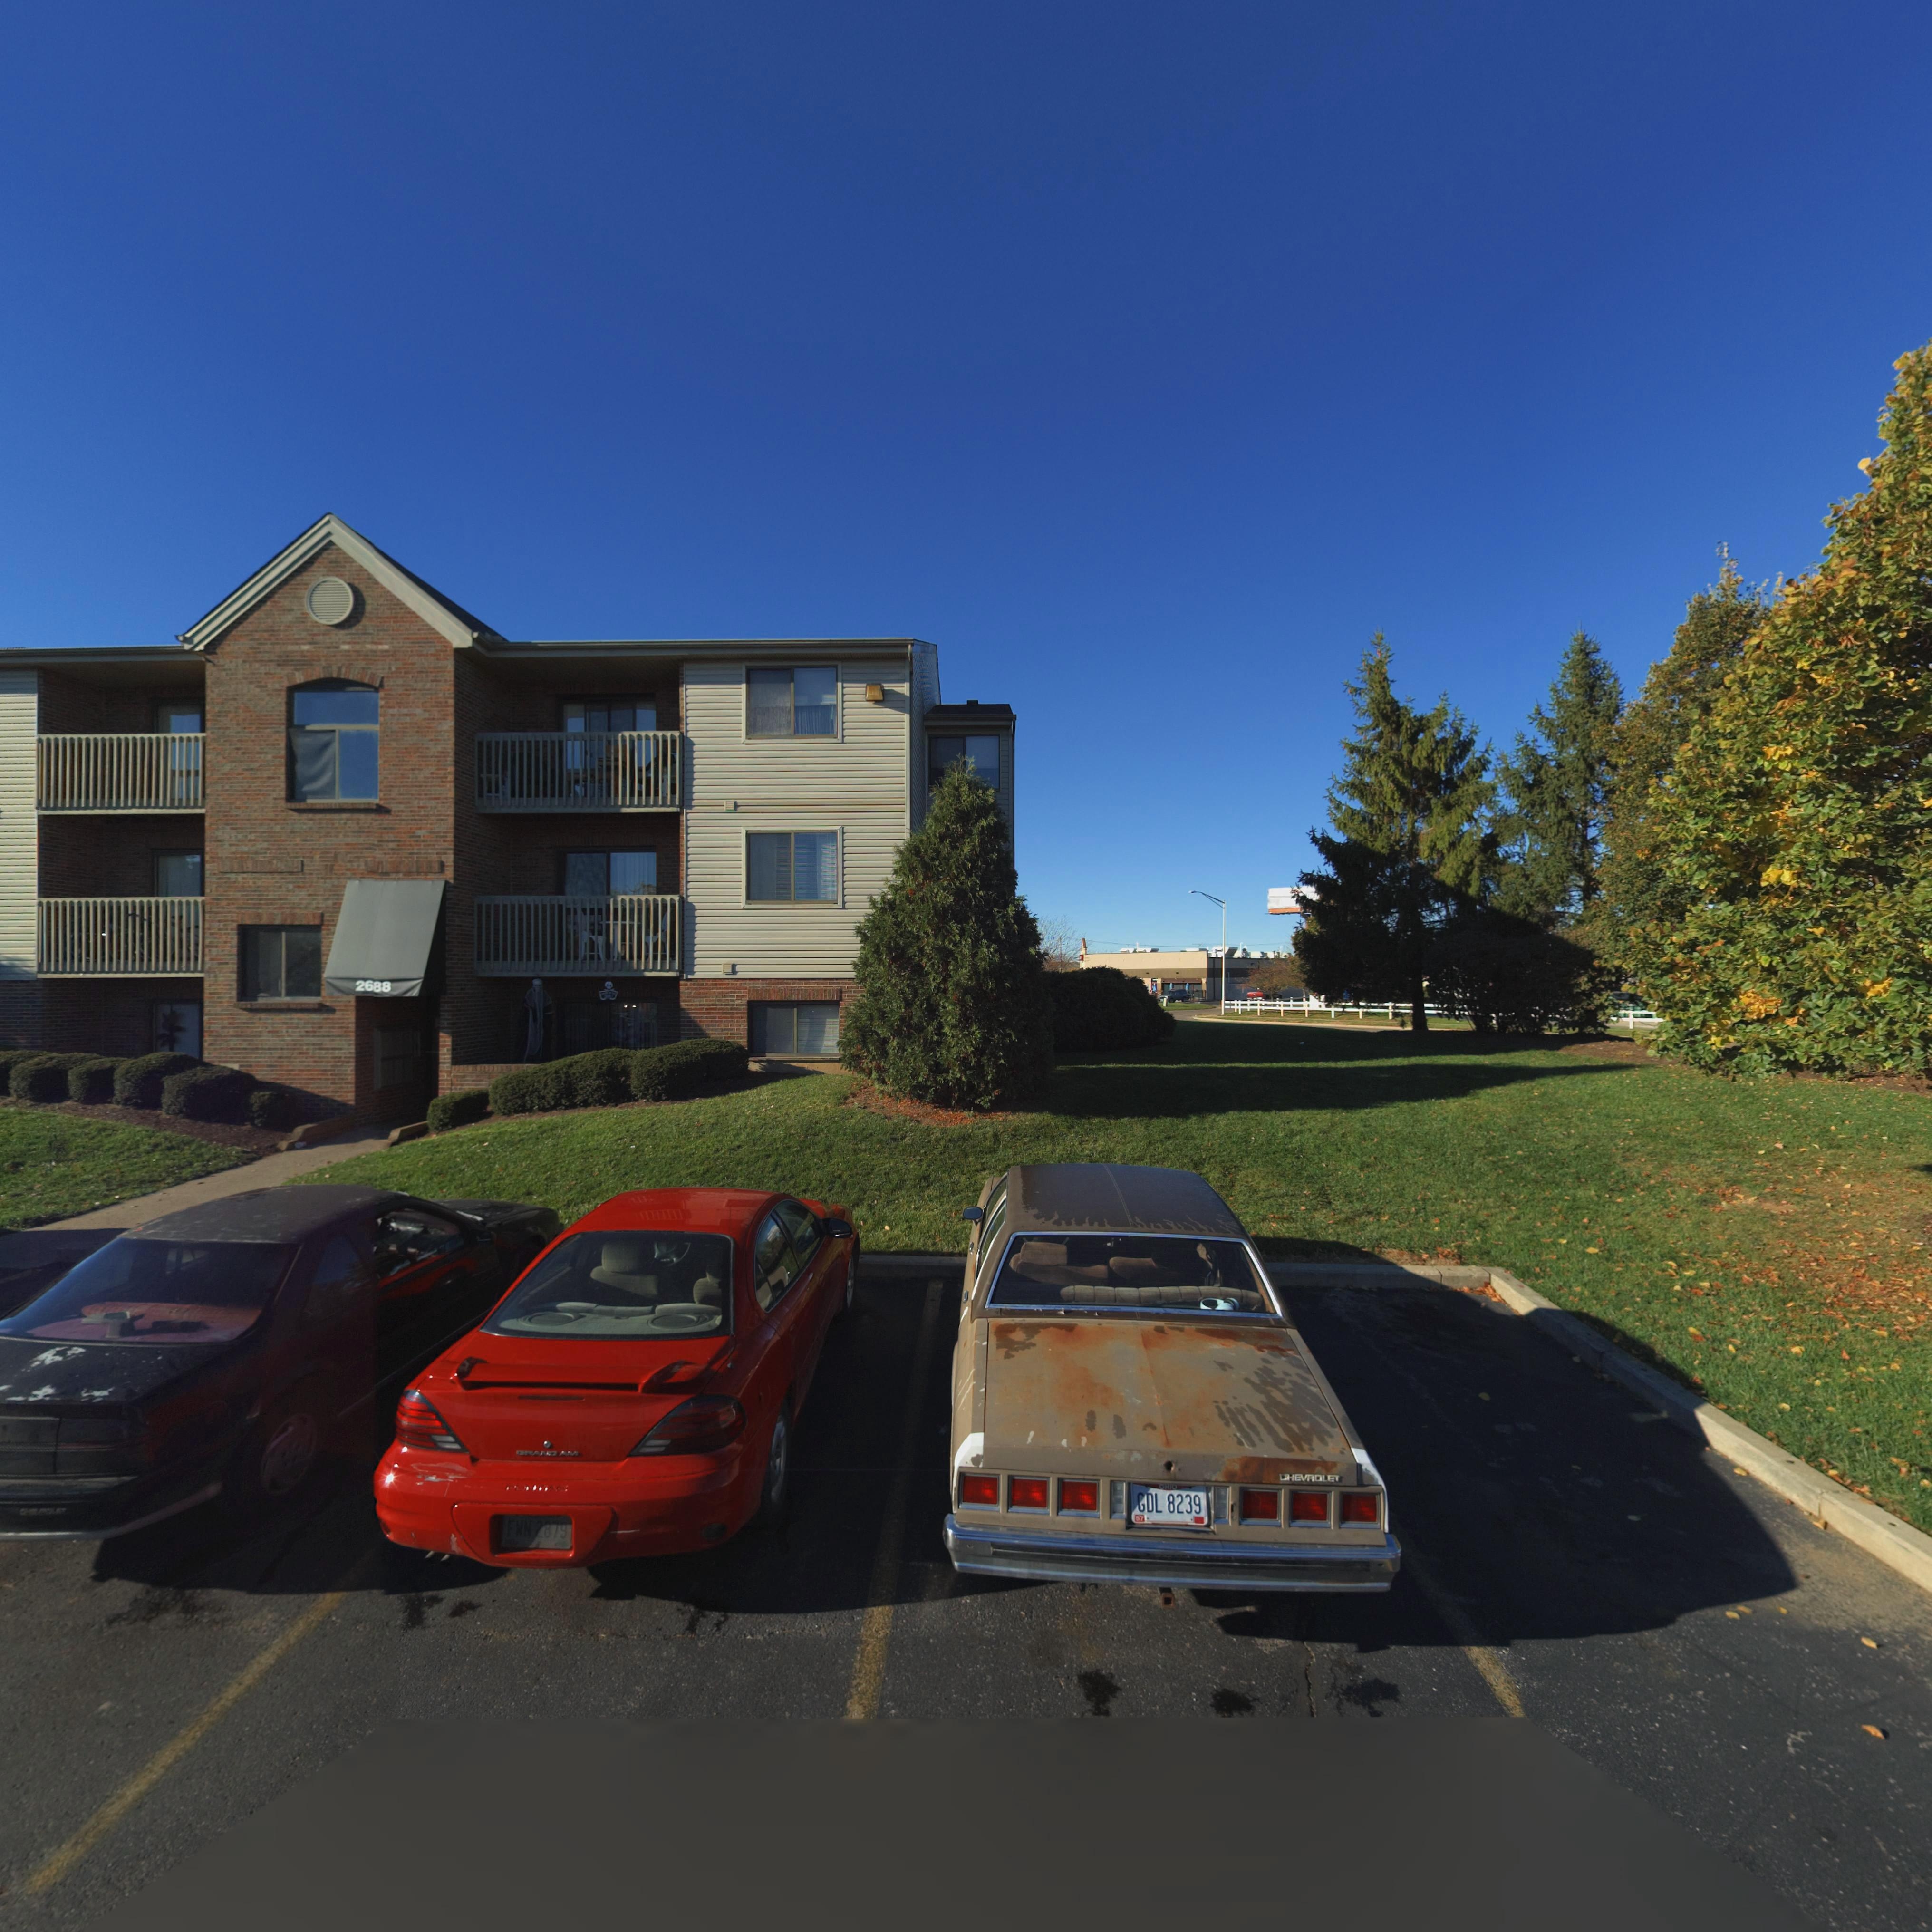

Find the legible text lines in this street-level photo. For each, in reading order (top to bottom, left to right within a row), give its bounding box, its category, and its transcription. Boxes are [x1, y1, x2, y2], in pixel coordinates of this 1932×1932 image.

[355, 979, 392, 993] StreetNumber: 2688